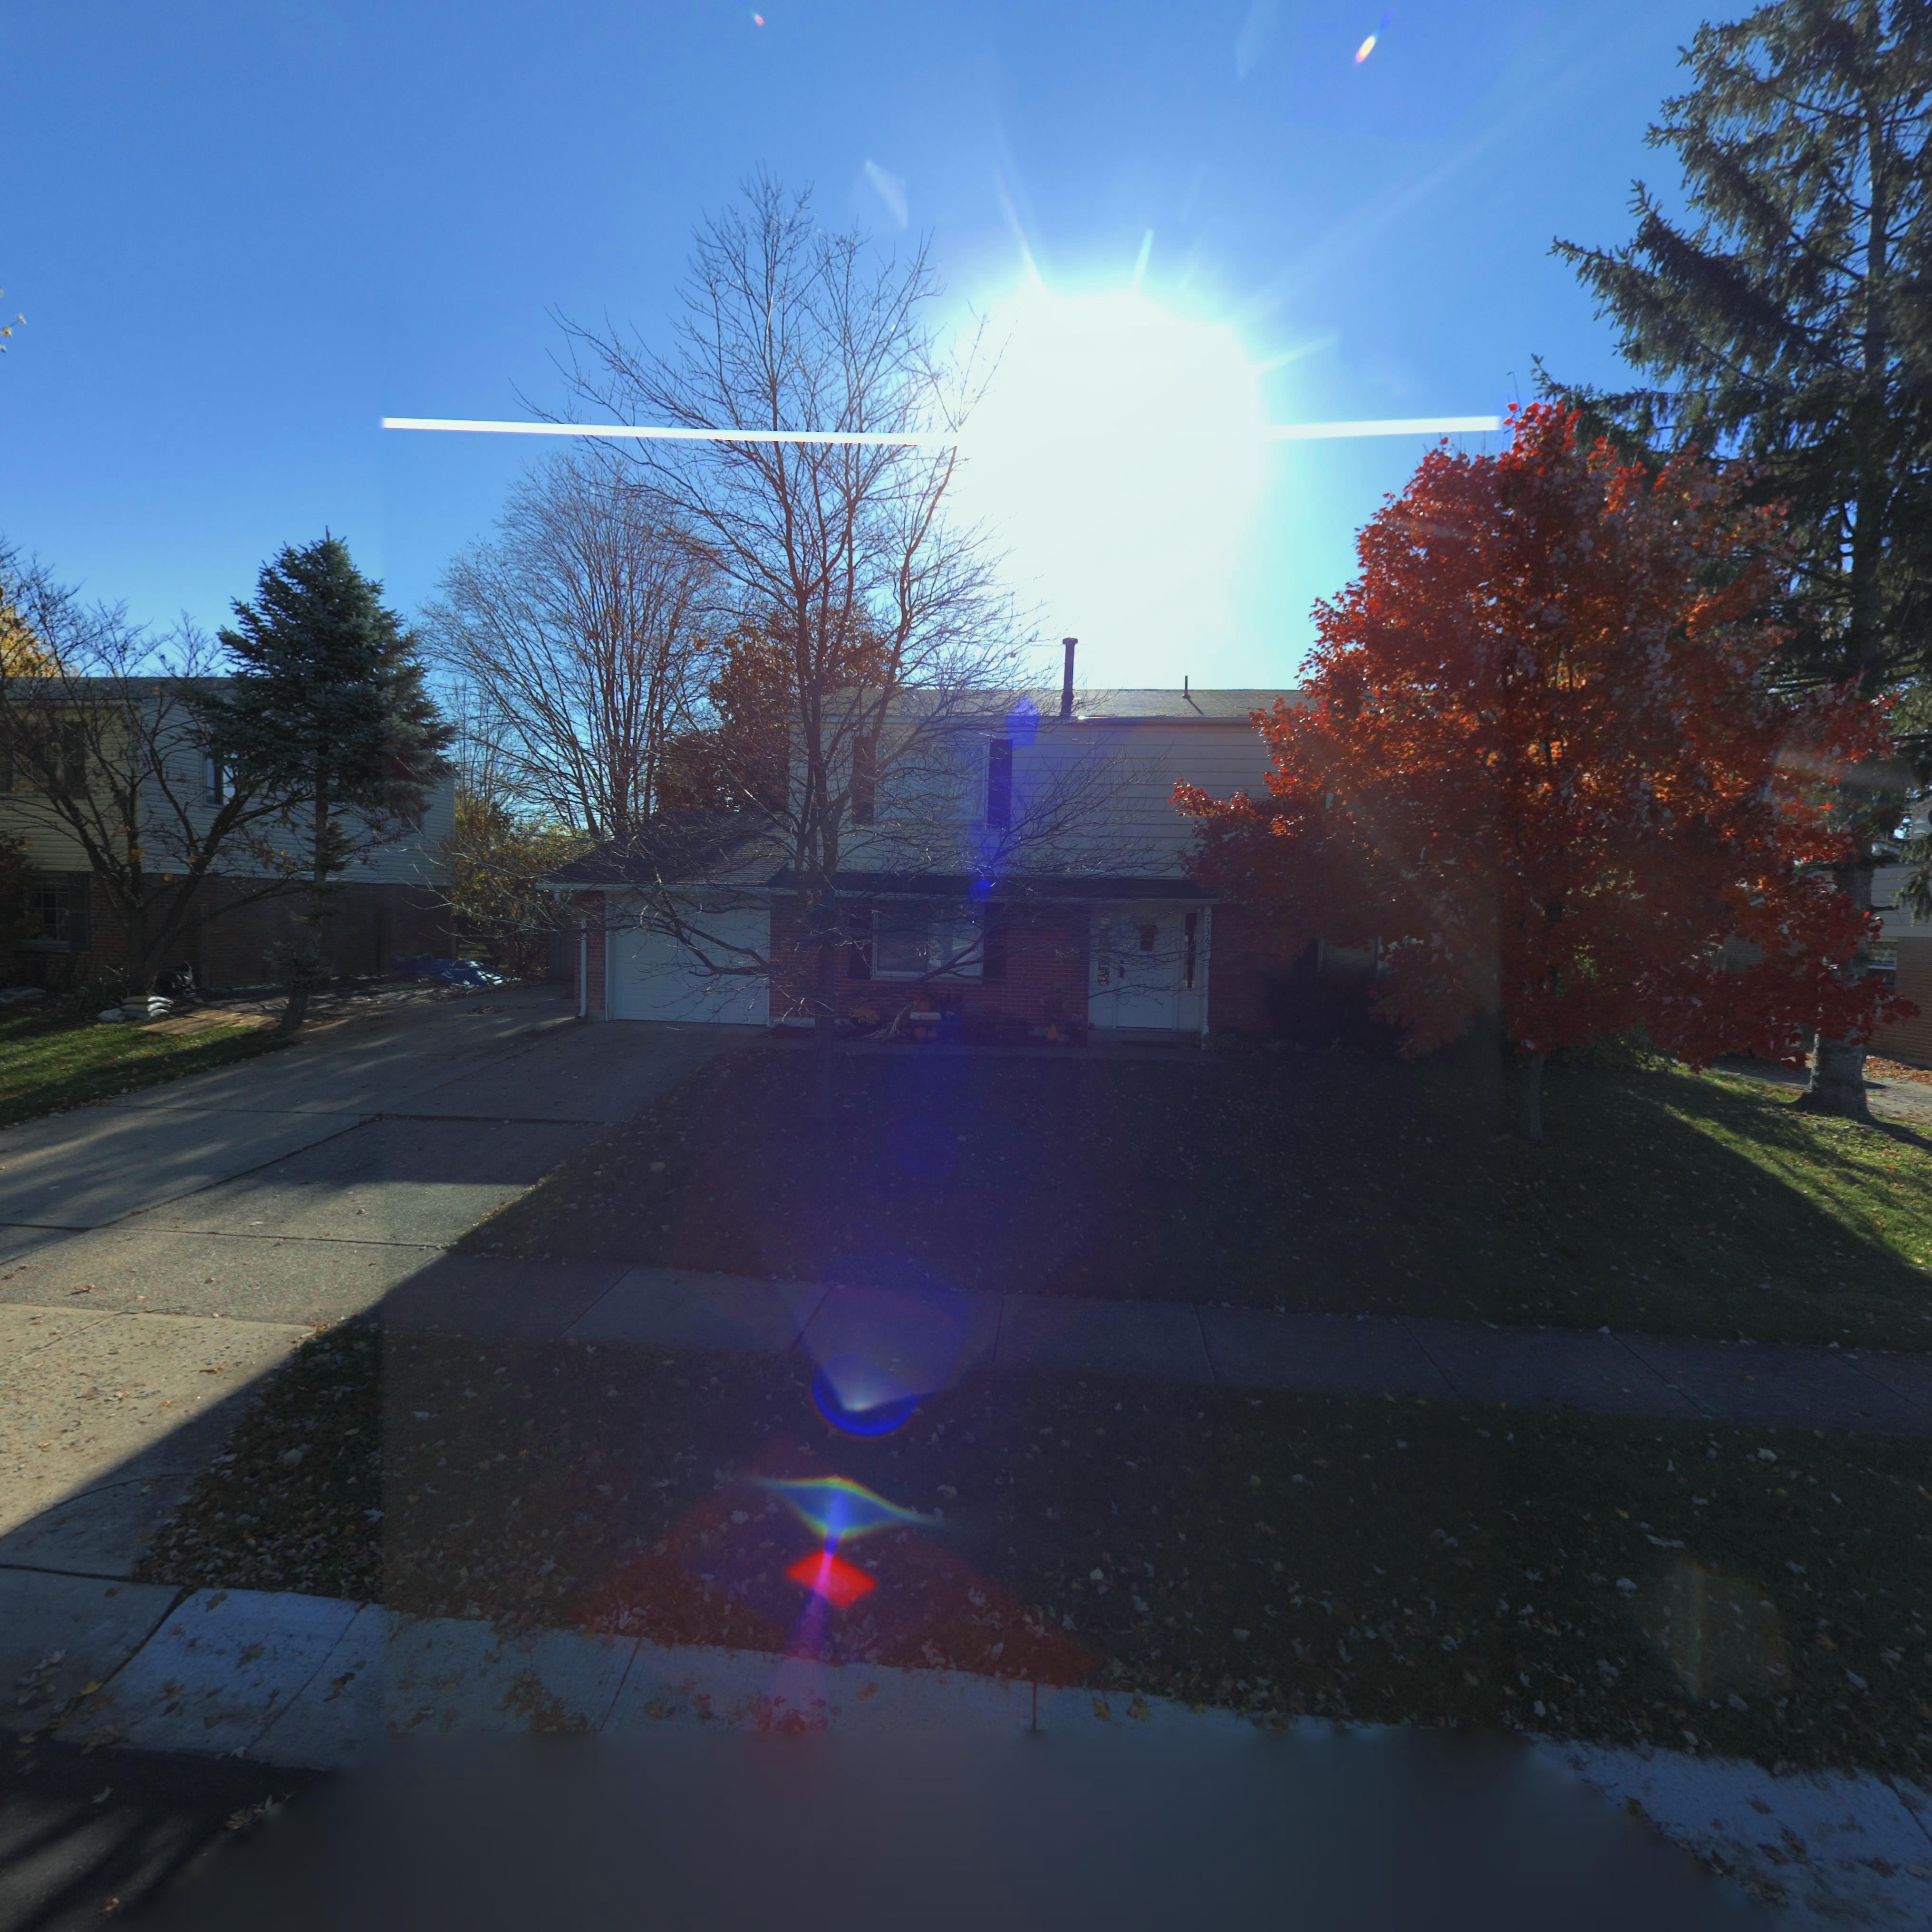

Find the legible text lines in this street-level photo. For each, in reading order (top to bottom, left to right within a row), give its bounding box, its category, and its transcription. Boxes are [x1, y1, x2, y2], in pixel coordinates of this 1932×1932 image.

[1204, 913, 1211, 946] StreetNumber: 7736